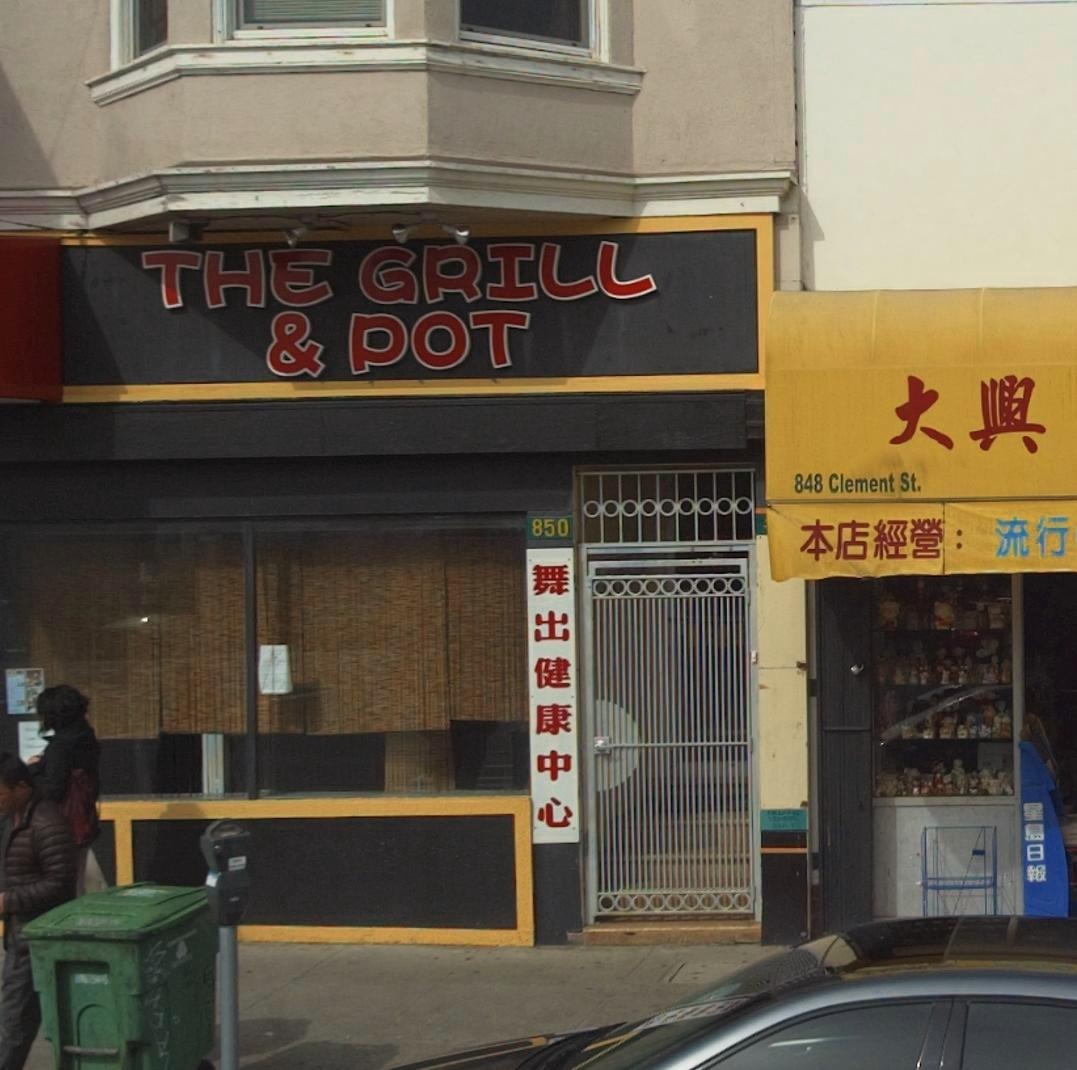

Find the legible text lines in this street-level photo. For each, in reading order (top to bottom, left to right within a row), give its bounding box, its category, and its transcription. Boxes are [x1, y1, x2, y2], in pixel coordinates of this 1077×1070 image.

[140, 239, 657, 309] BusinessName: THE GRILL
[347, 310, 532, 375] BusinessName: POT
[794, 472, 824, 494] StreetNumber: 848
[828, 471, 923, 494] StreetName: Clement St.
[531, 518, 570, 538] StreetNumber: 850